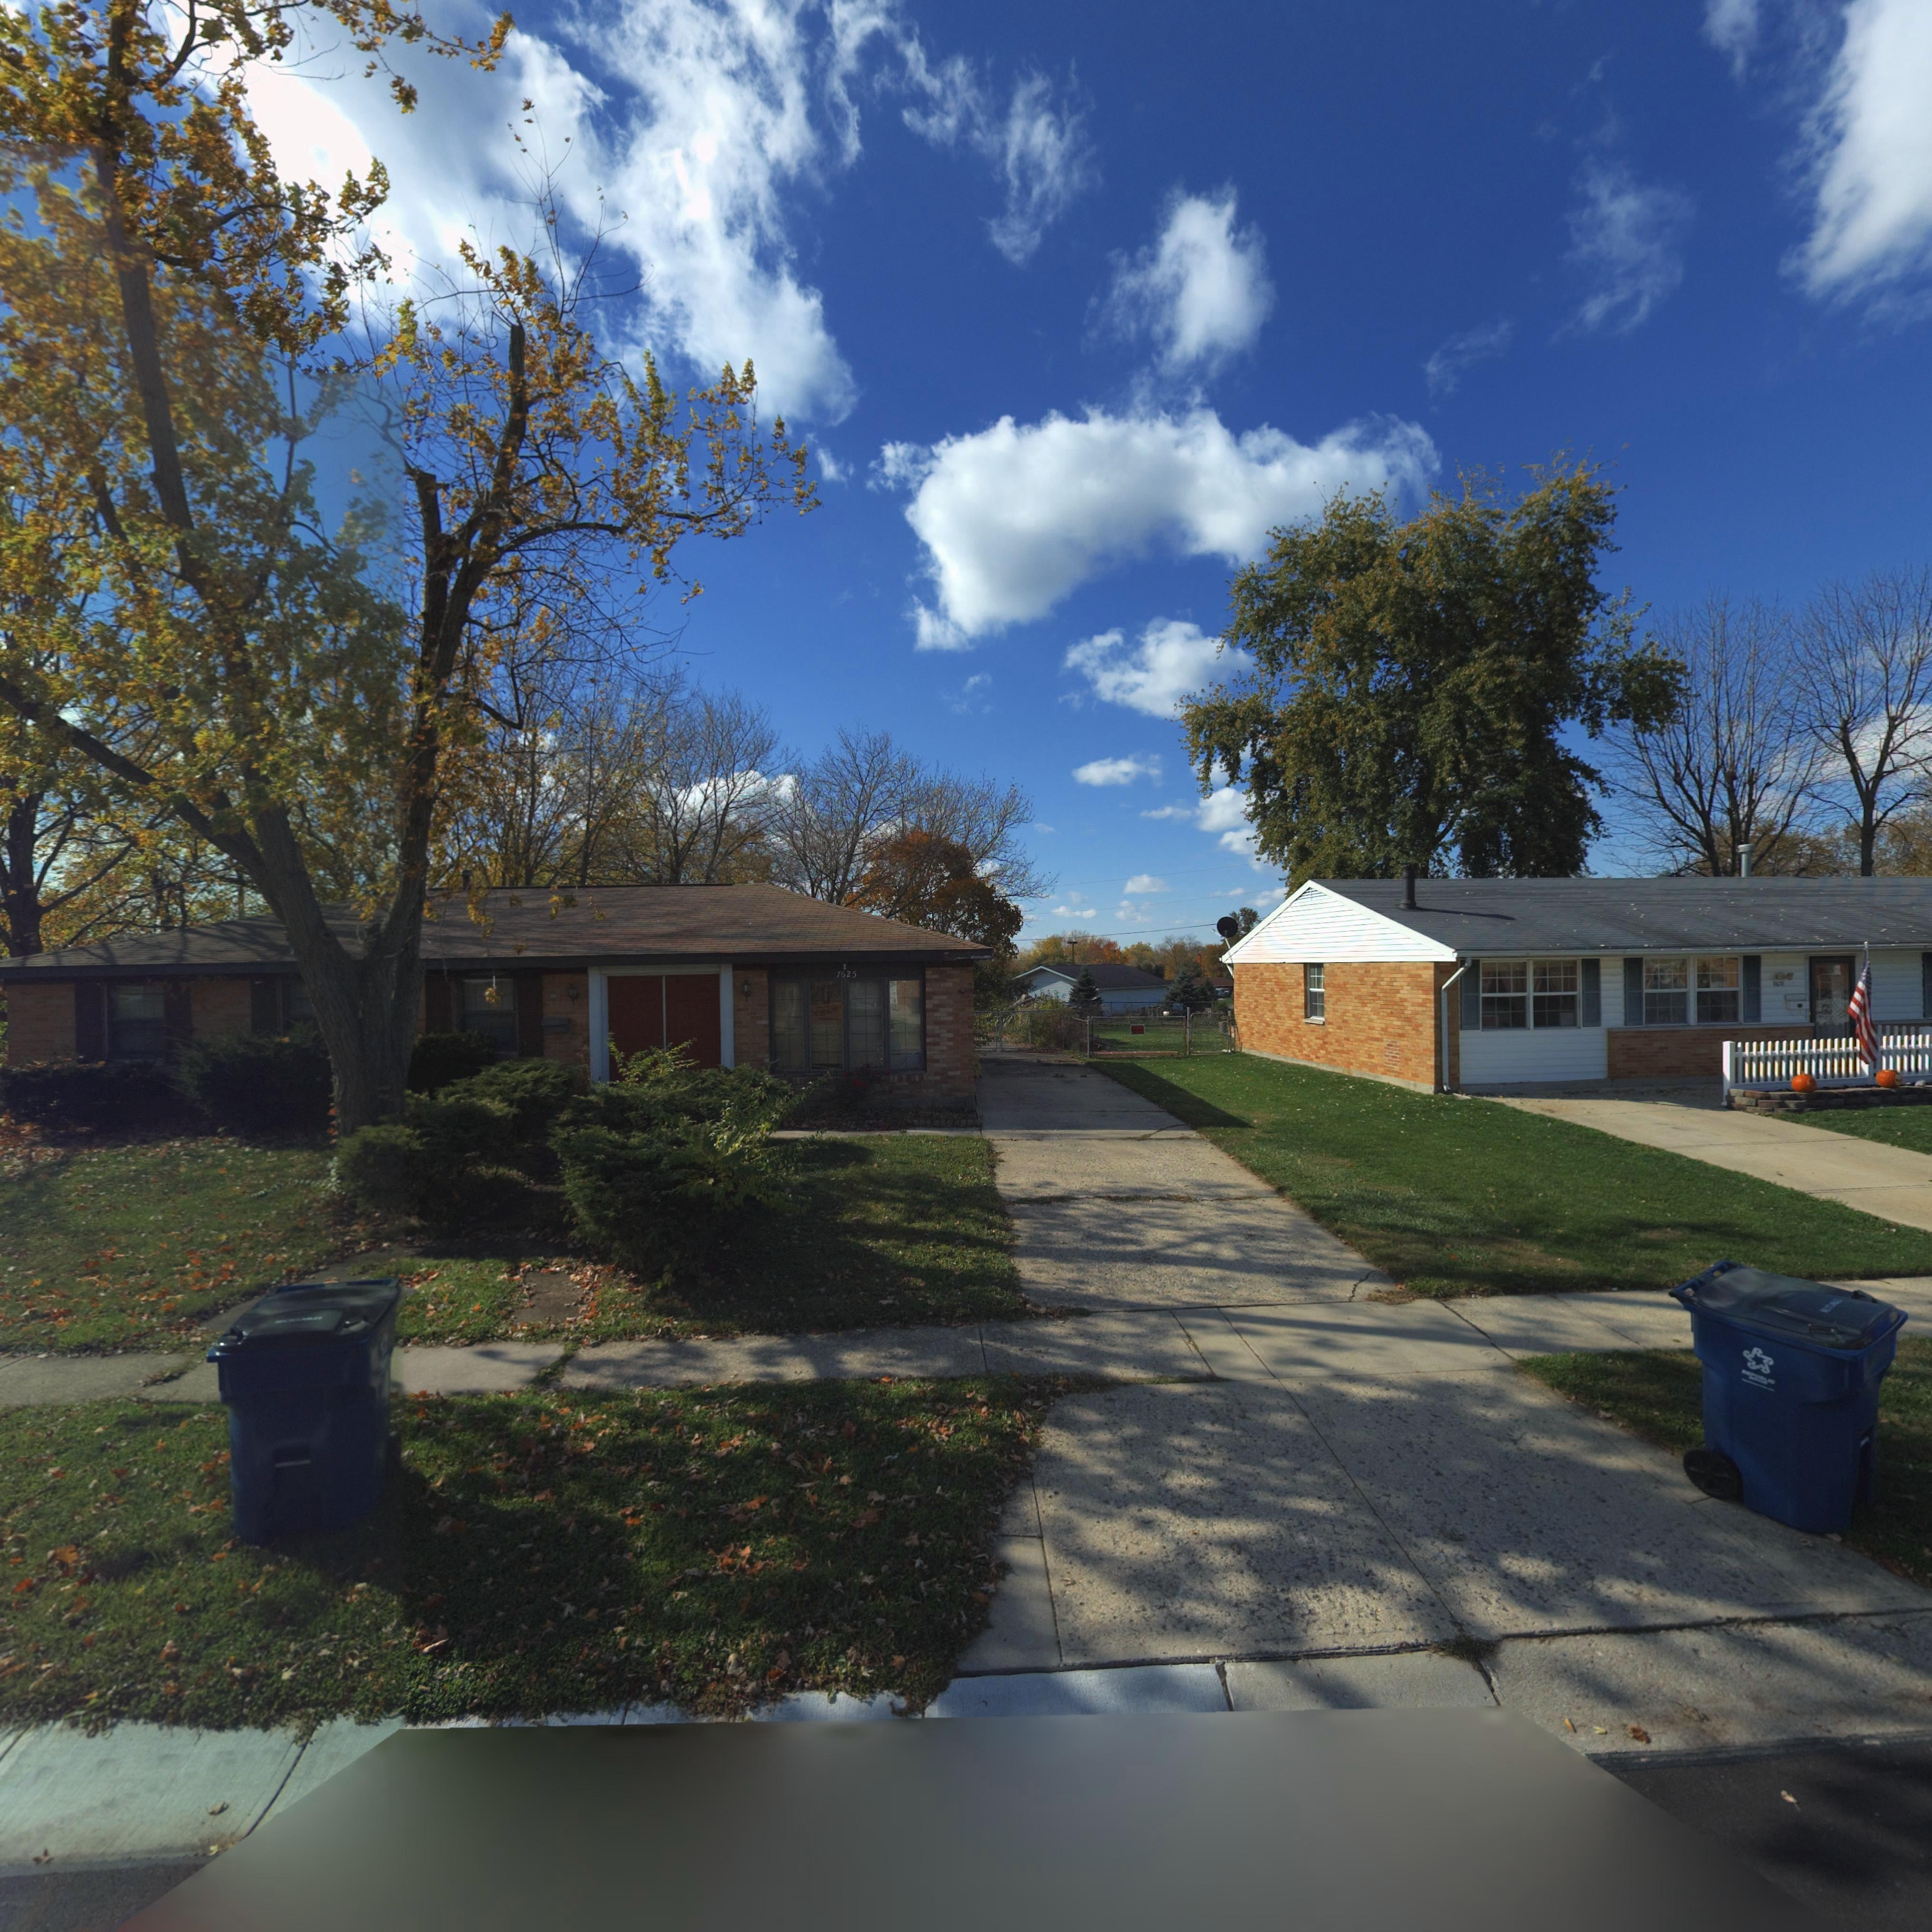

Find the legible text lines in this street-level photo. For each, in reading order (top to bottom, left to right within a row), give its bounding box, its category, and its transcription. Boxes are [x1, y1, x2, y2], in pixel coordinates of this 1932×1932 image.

[836, 970, 857, 978] StreetNumber: 7625
[1772, 980, 1785, 987] StreetNumber: 7631